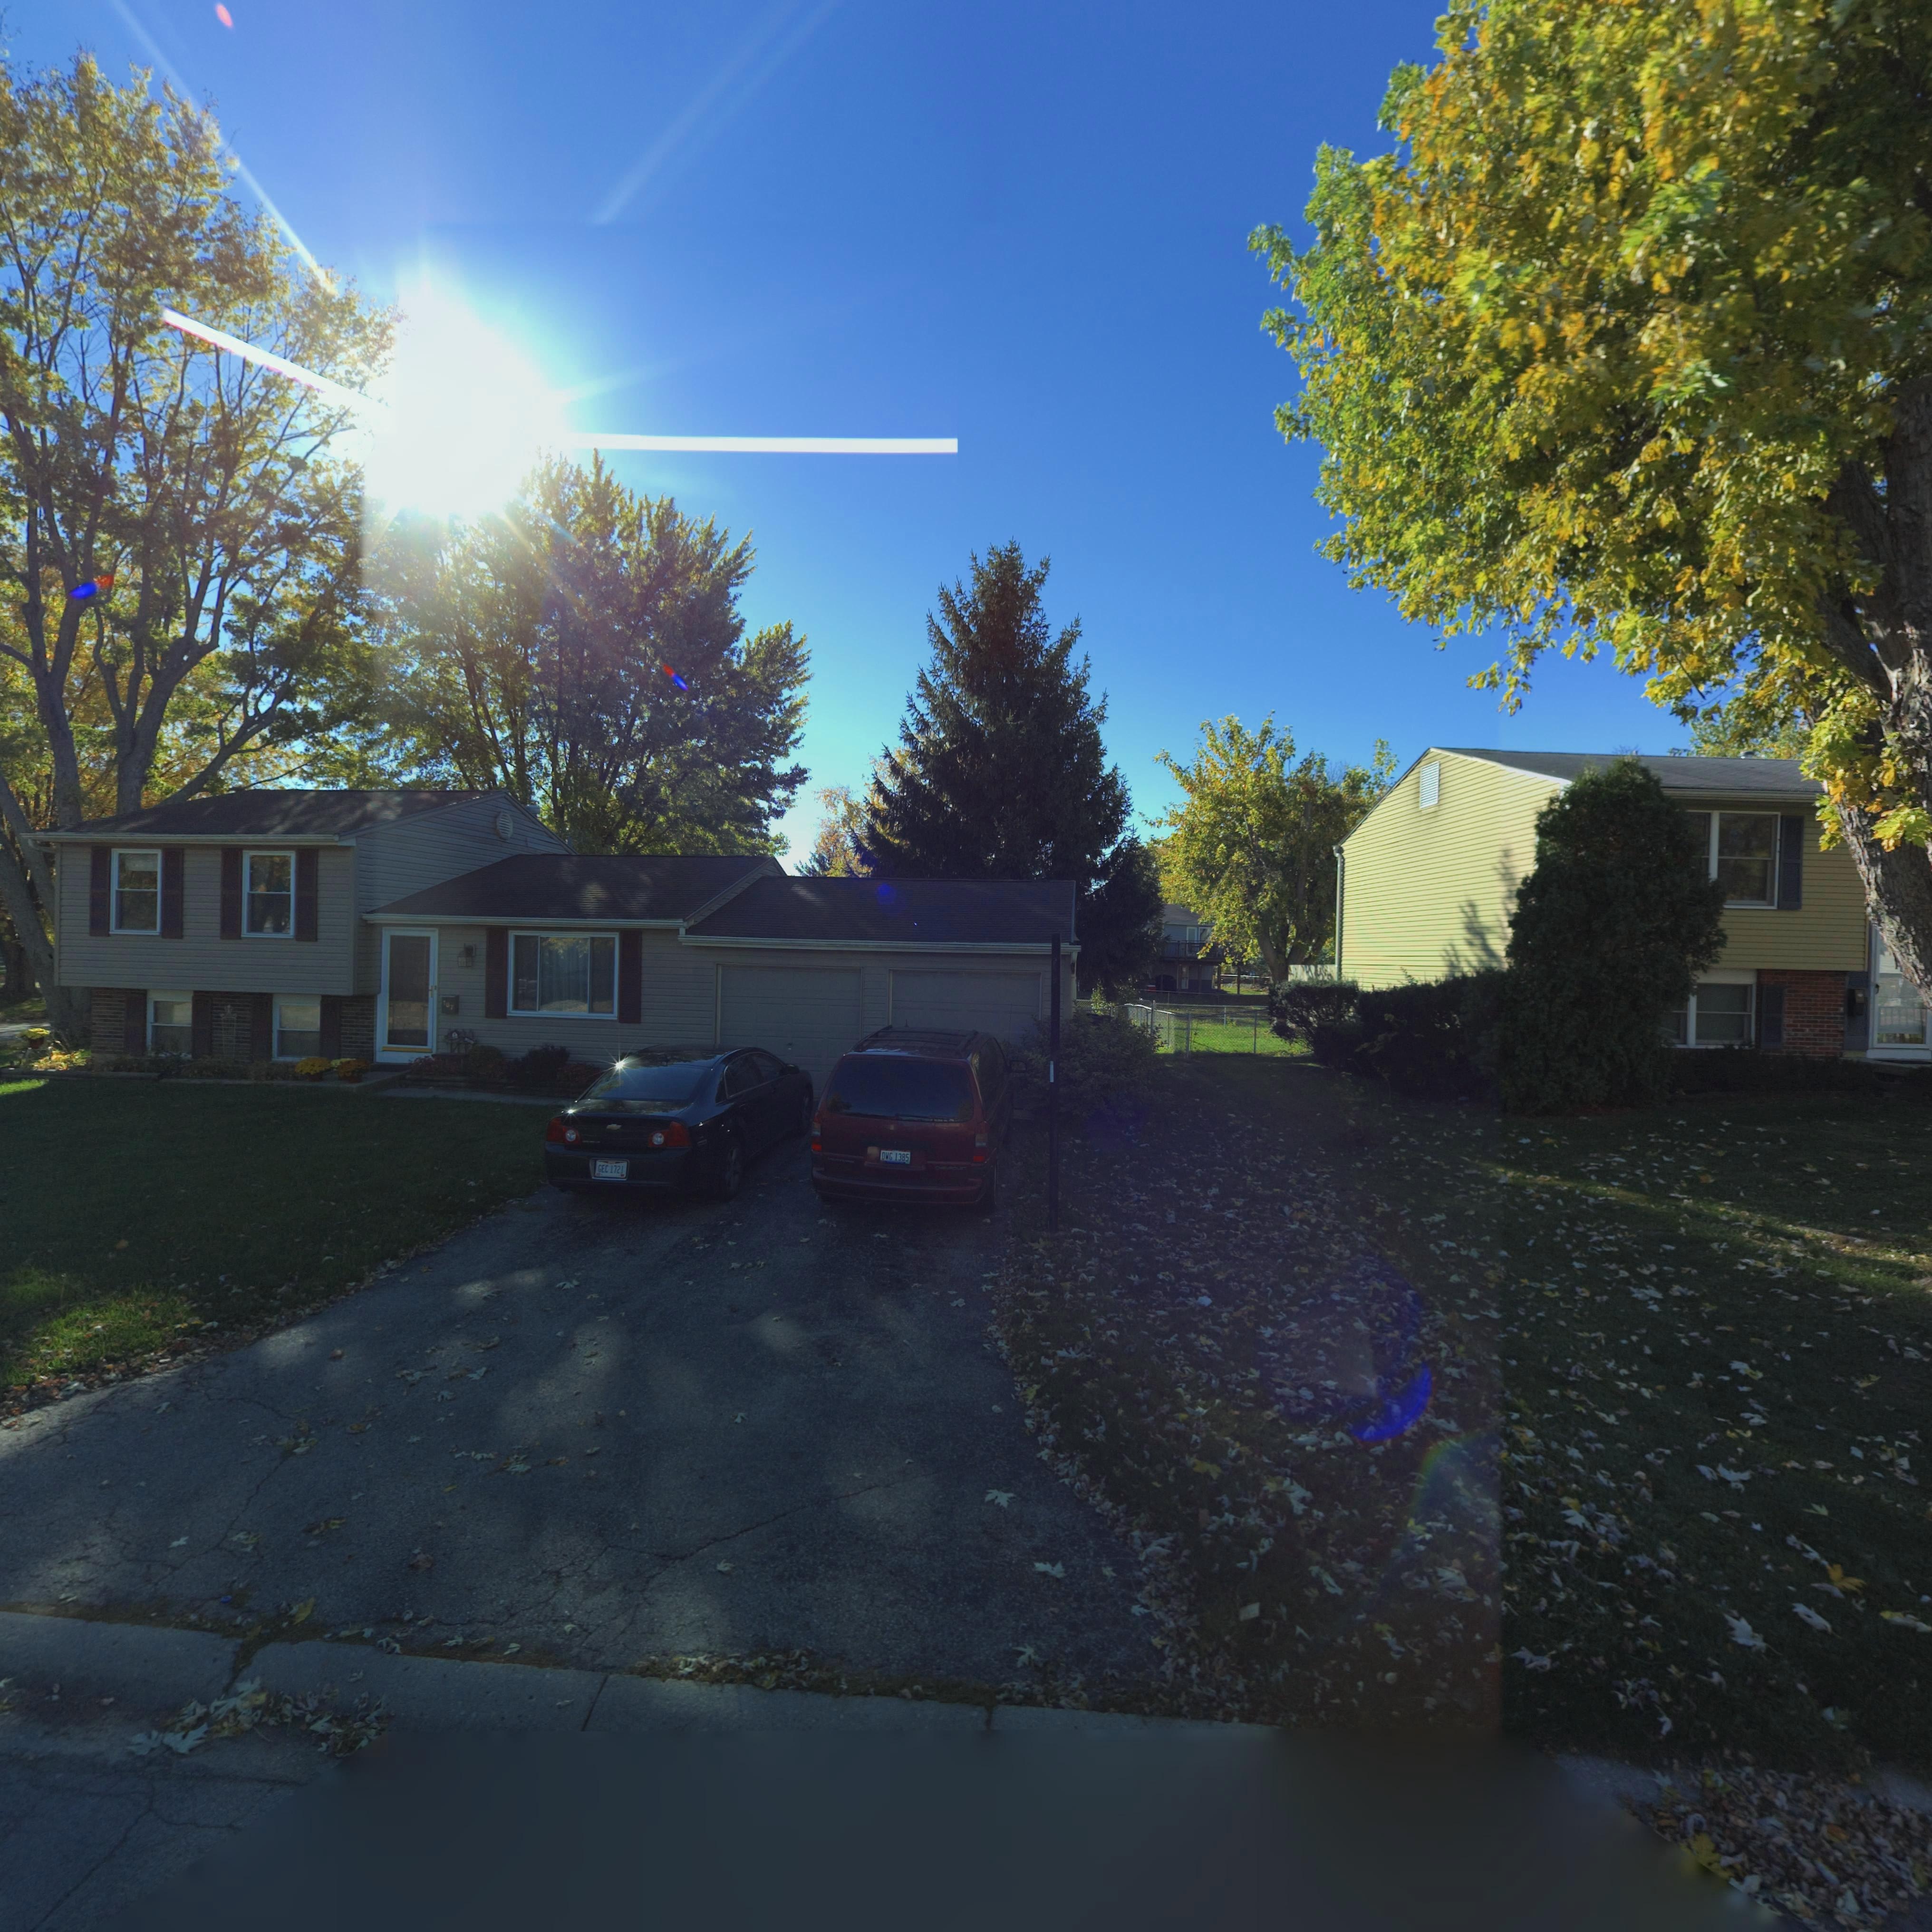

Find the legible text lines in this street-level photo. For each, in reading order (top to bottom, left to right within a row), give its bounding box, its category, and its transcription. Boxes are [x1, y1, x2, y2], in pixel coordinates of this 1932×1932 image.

[442, 1000, 455, 1011] StreetNumber: 107